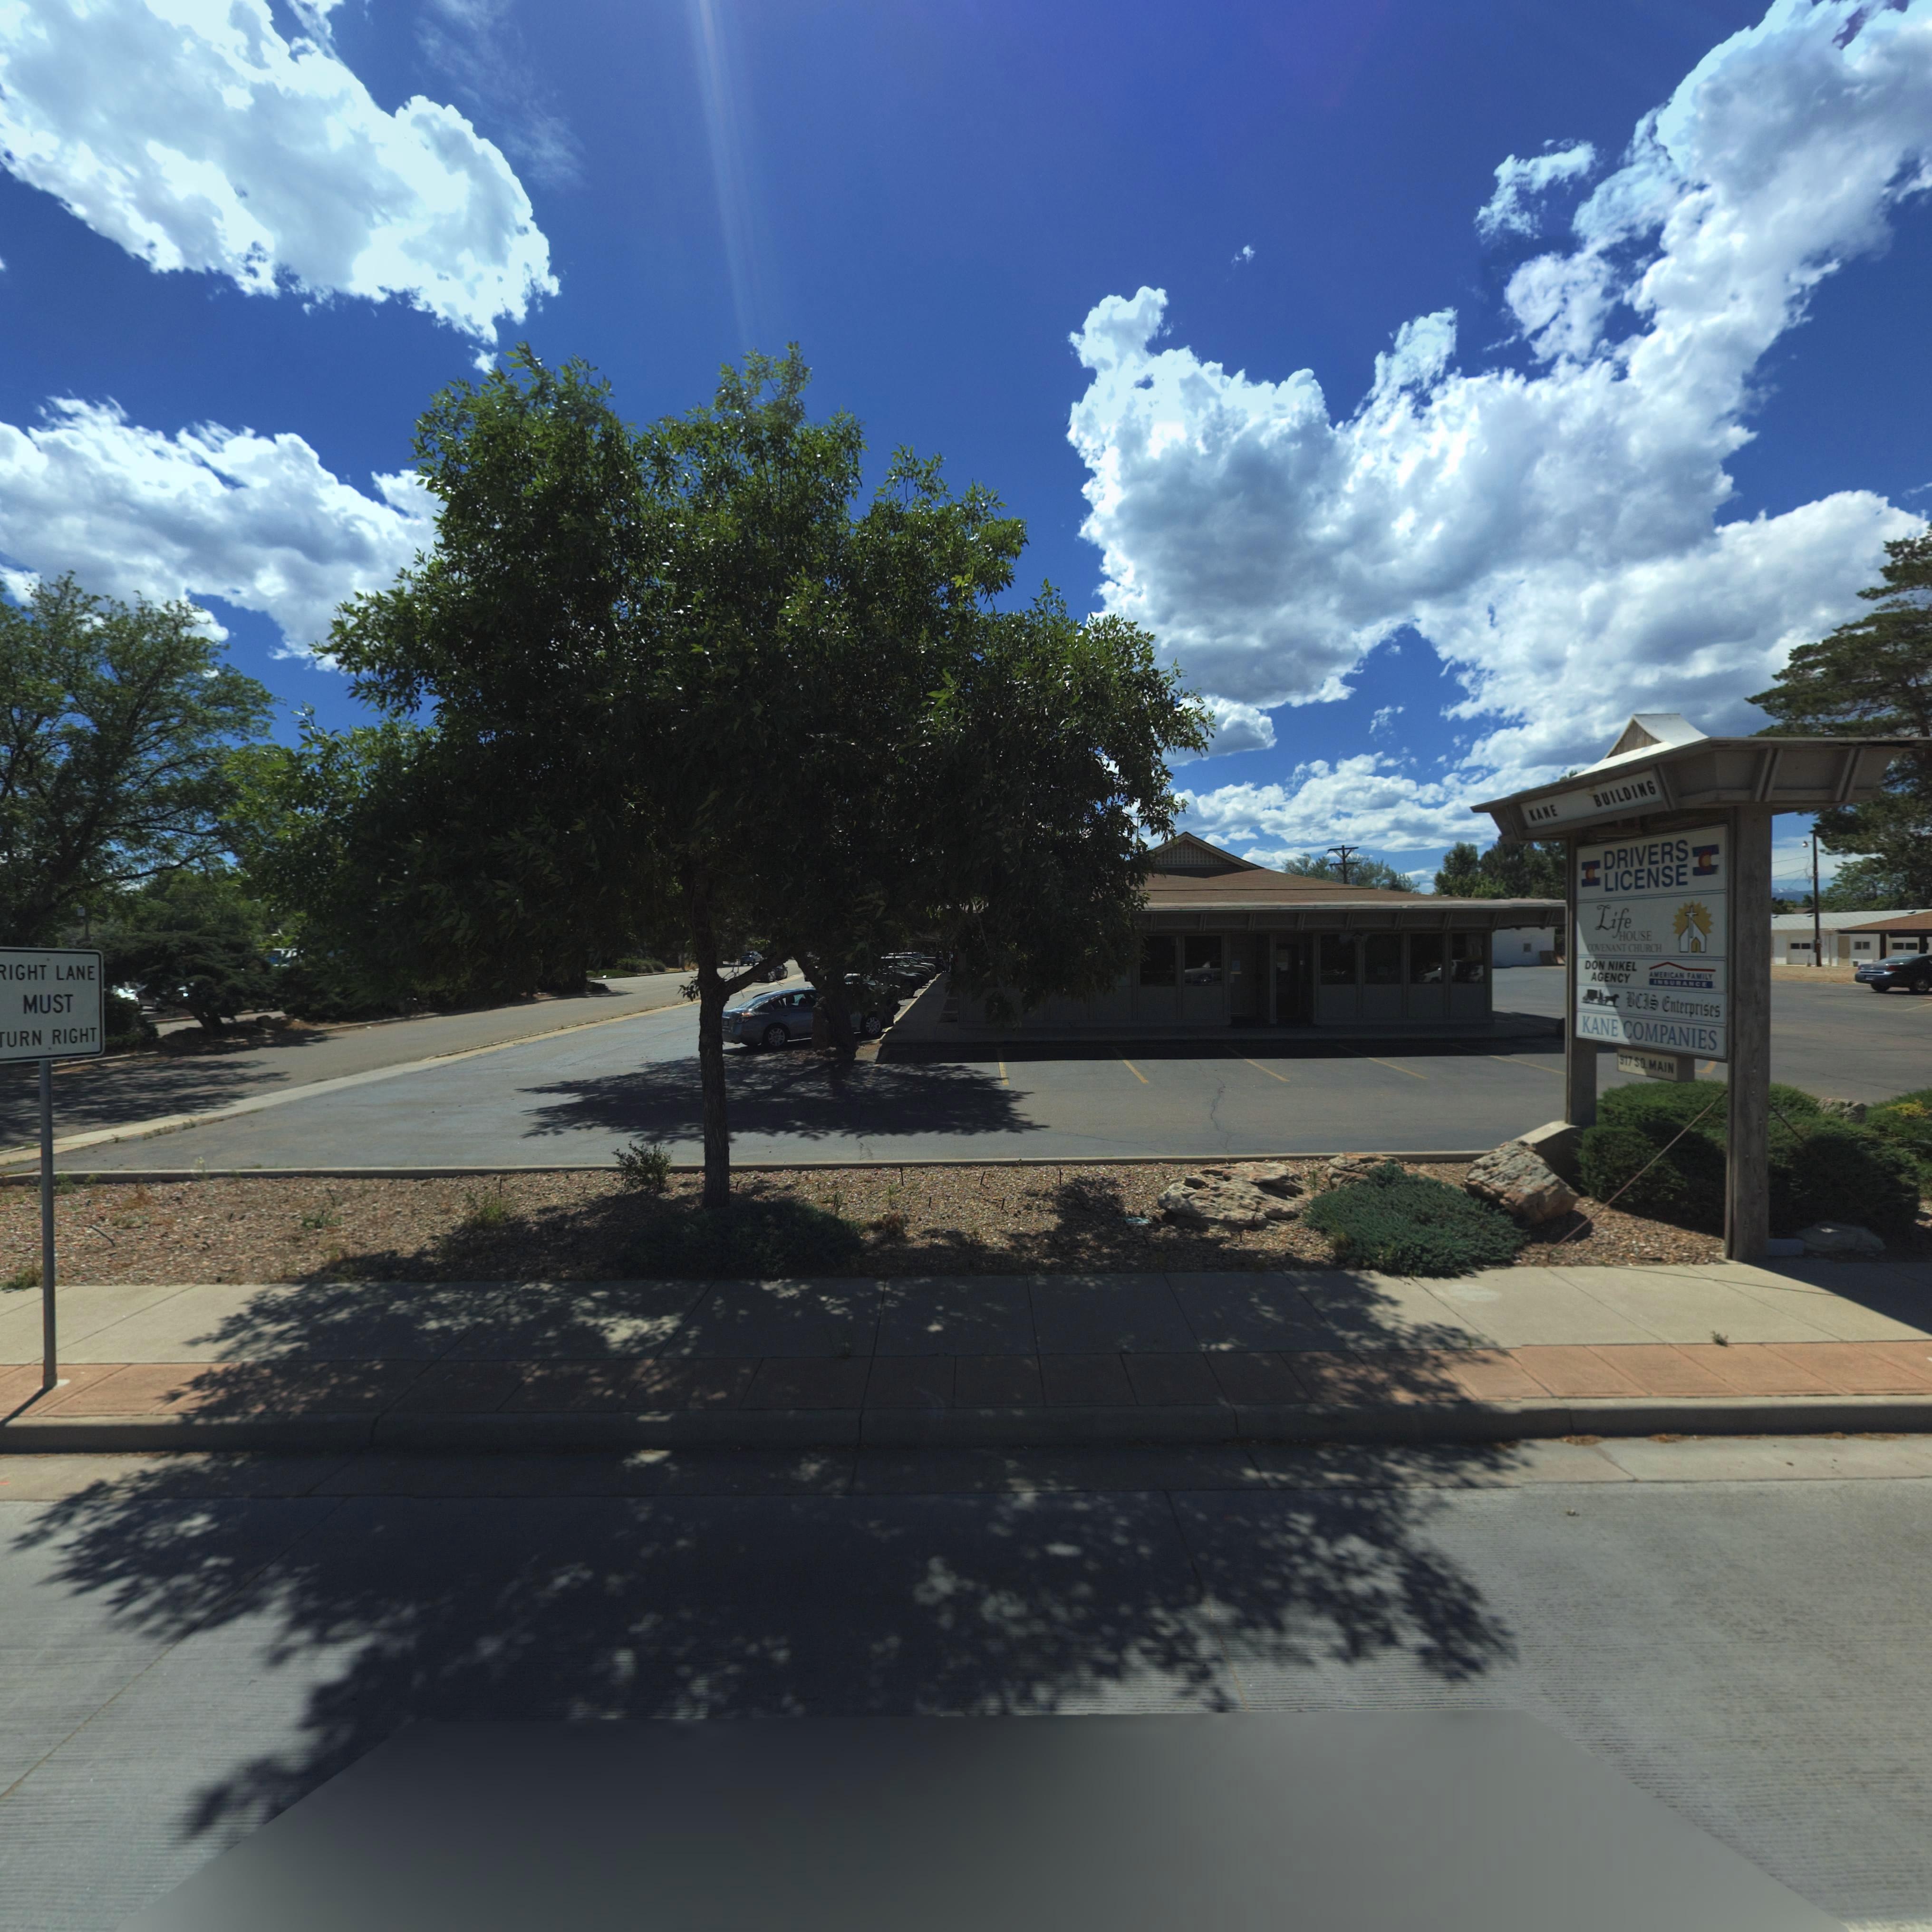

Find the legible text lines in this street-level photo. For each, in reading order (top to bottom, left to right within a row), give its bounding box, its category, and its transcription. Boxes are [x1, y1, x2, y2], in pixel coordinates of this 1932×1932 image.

[1603, 838, 1690, 870] BusinessName: DRIVERS
[1604, 862, 1689, 892] BusinessName: LICENSE
[1594, 904, 1632, 938] BusinessName: Life
[1586, 943, 1662, 952] BusinessName: COVENANT CHURCH
[1619, 930, 1652, 941] BusinessName: HOUSE
[1653, 979, 1708, 987] BusinessName: INSURANCE
[1626, 991, 1721, 1018] BusinessName: BCIS Enterprises
[1582, 1015, 1717, 1051] BusinessName: KANE COMPANIES
[1619, 1054, 1633, 1066] StreetNumber: 317
[1634, 1057, 1674, 1073] StreetName: SO* MAIN